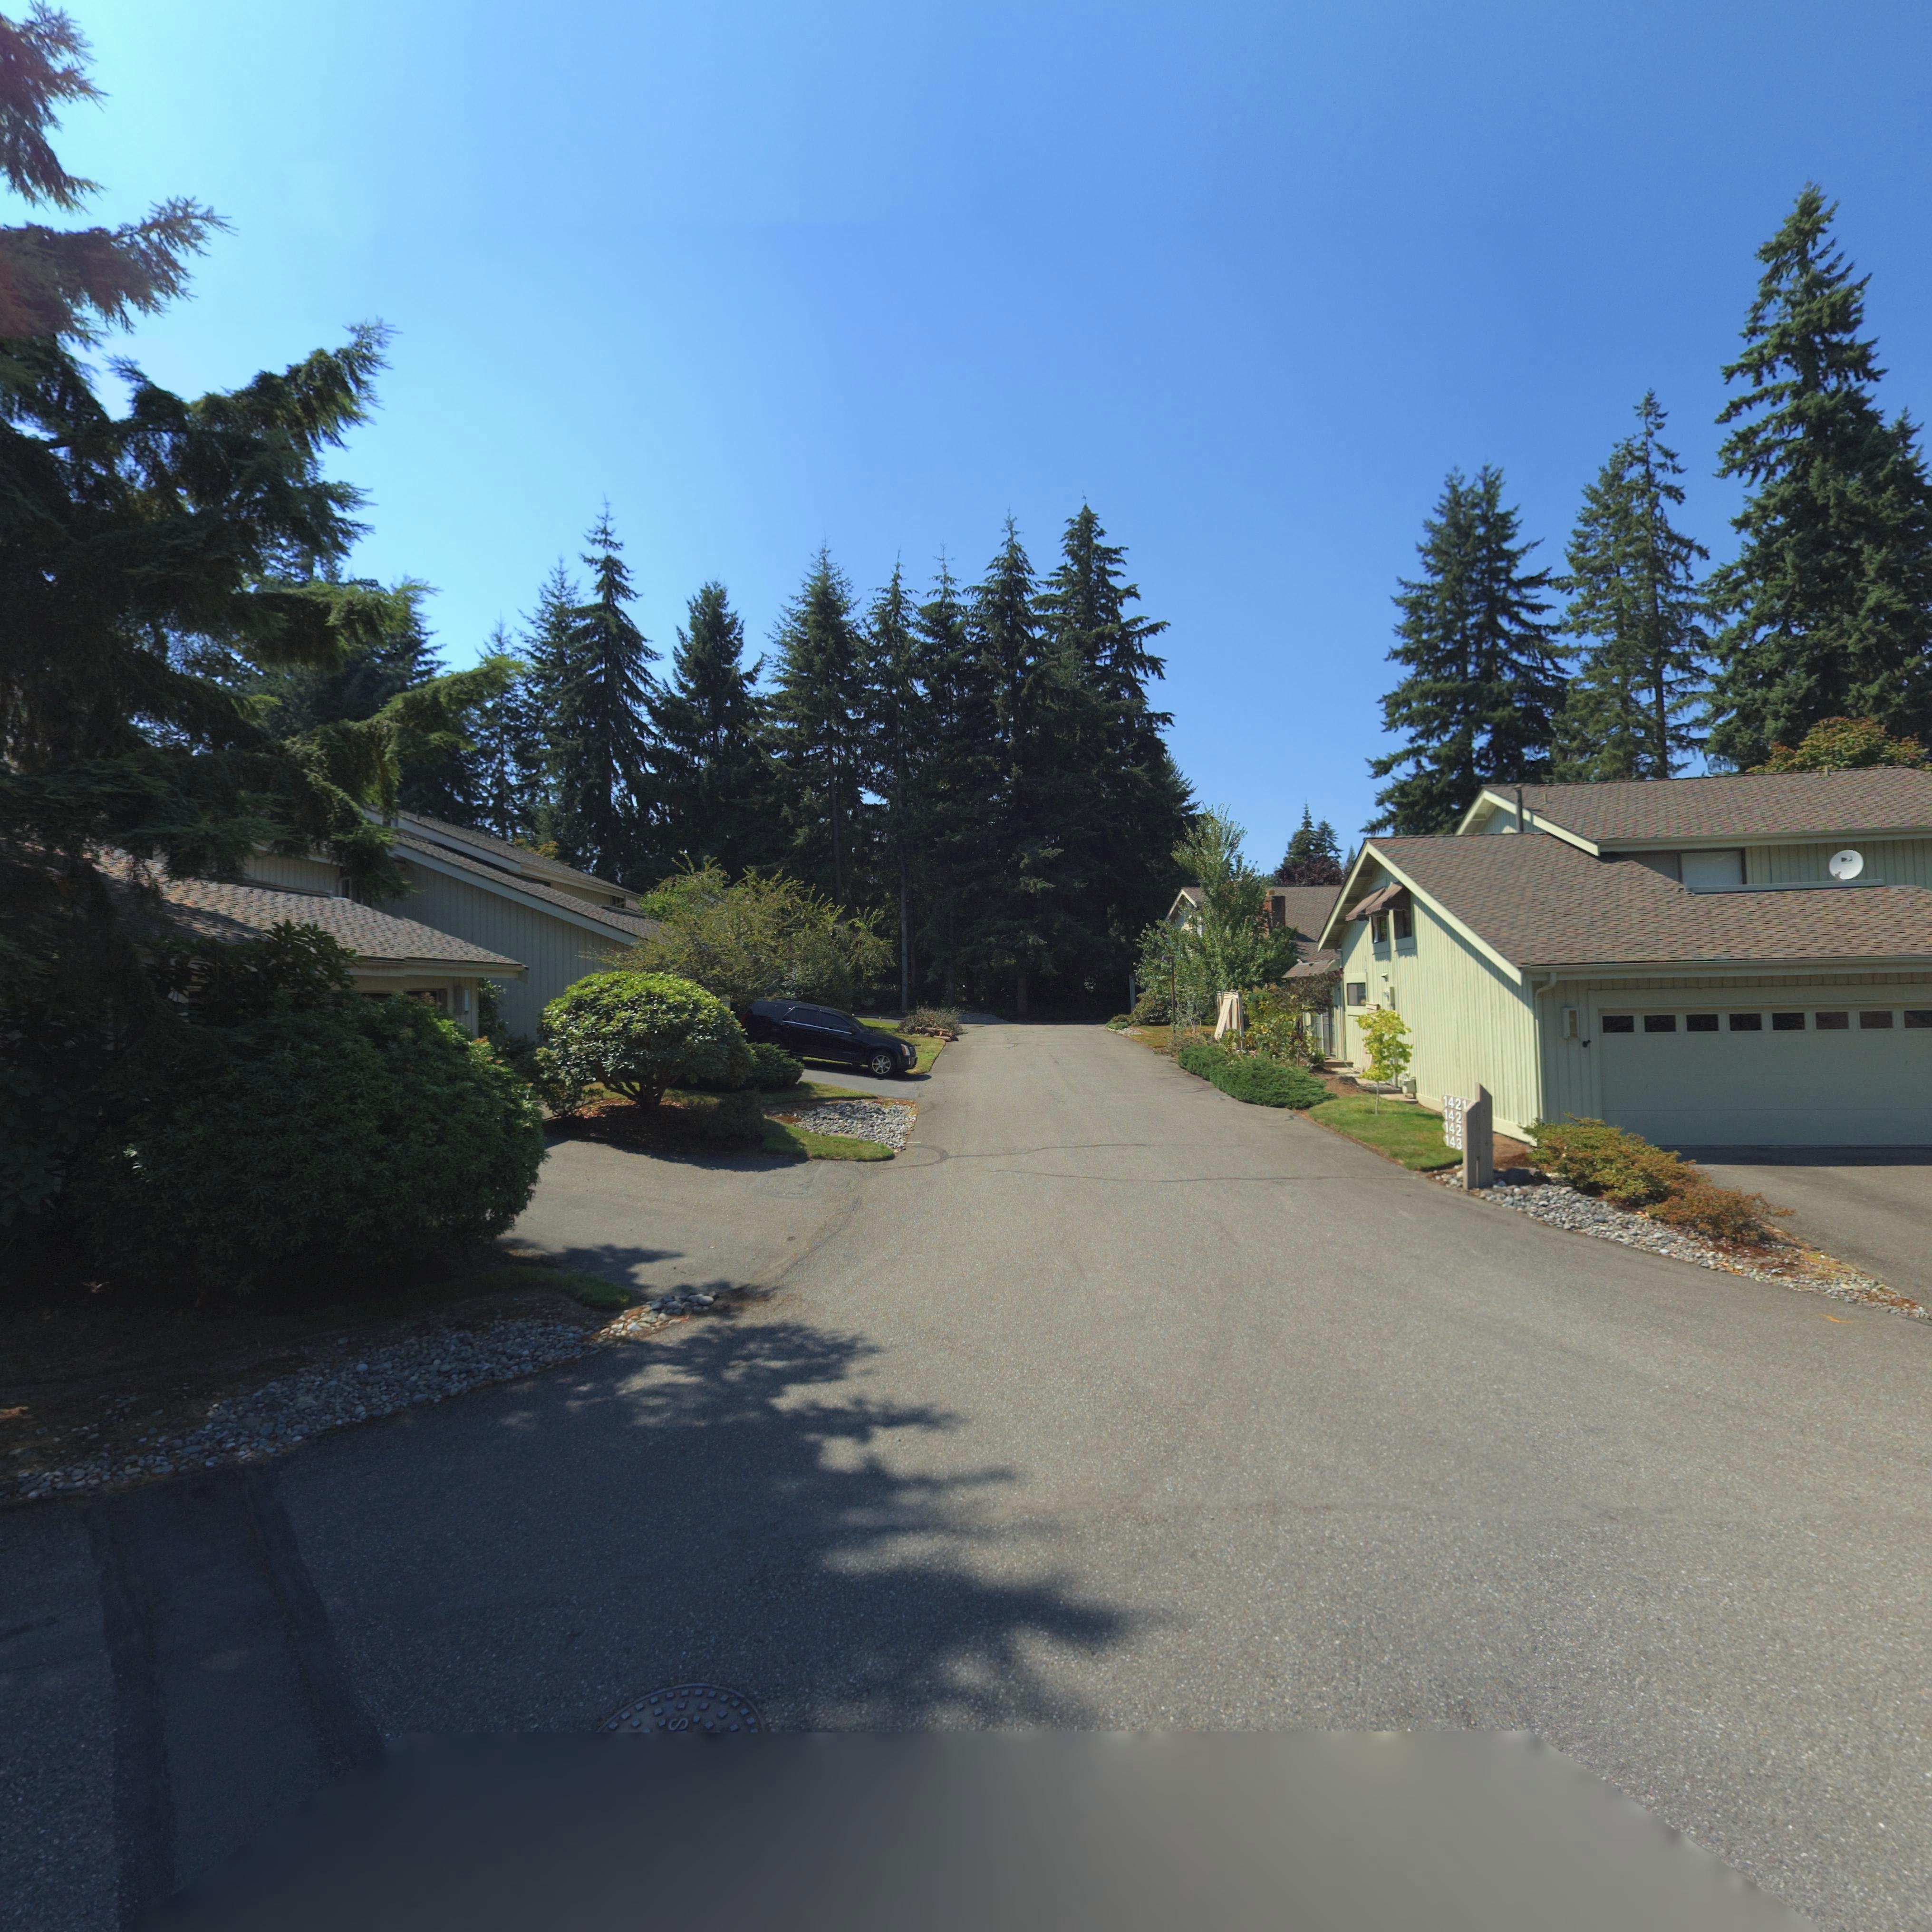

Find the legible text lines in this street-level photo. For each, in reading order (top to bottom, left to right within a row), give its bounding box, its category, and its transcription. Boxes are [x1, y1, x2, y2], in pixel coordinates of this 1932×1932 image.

[1443, 1095, 1469, 1110] StreetNumber: 1424